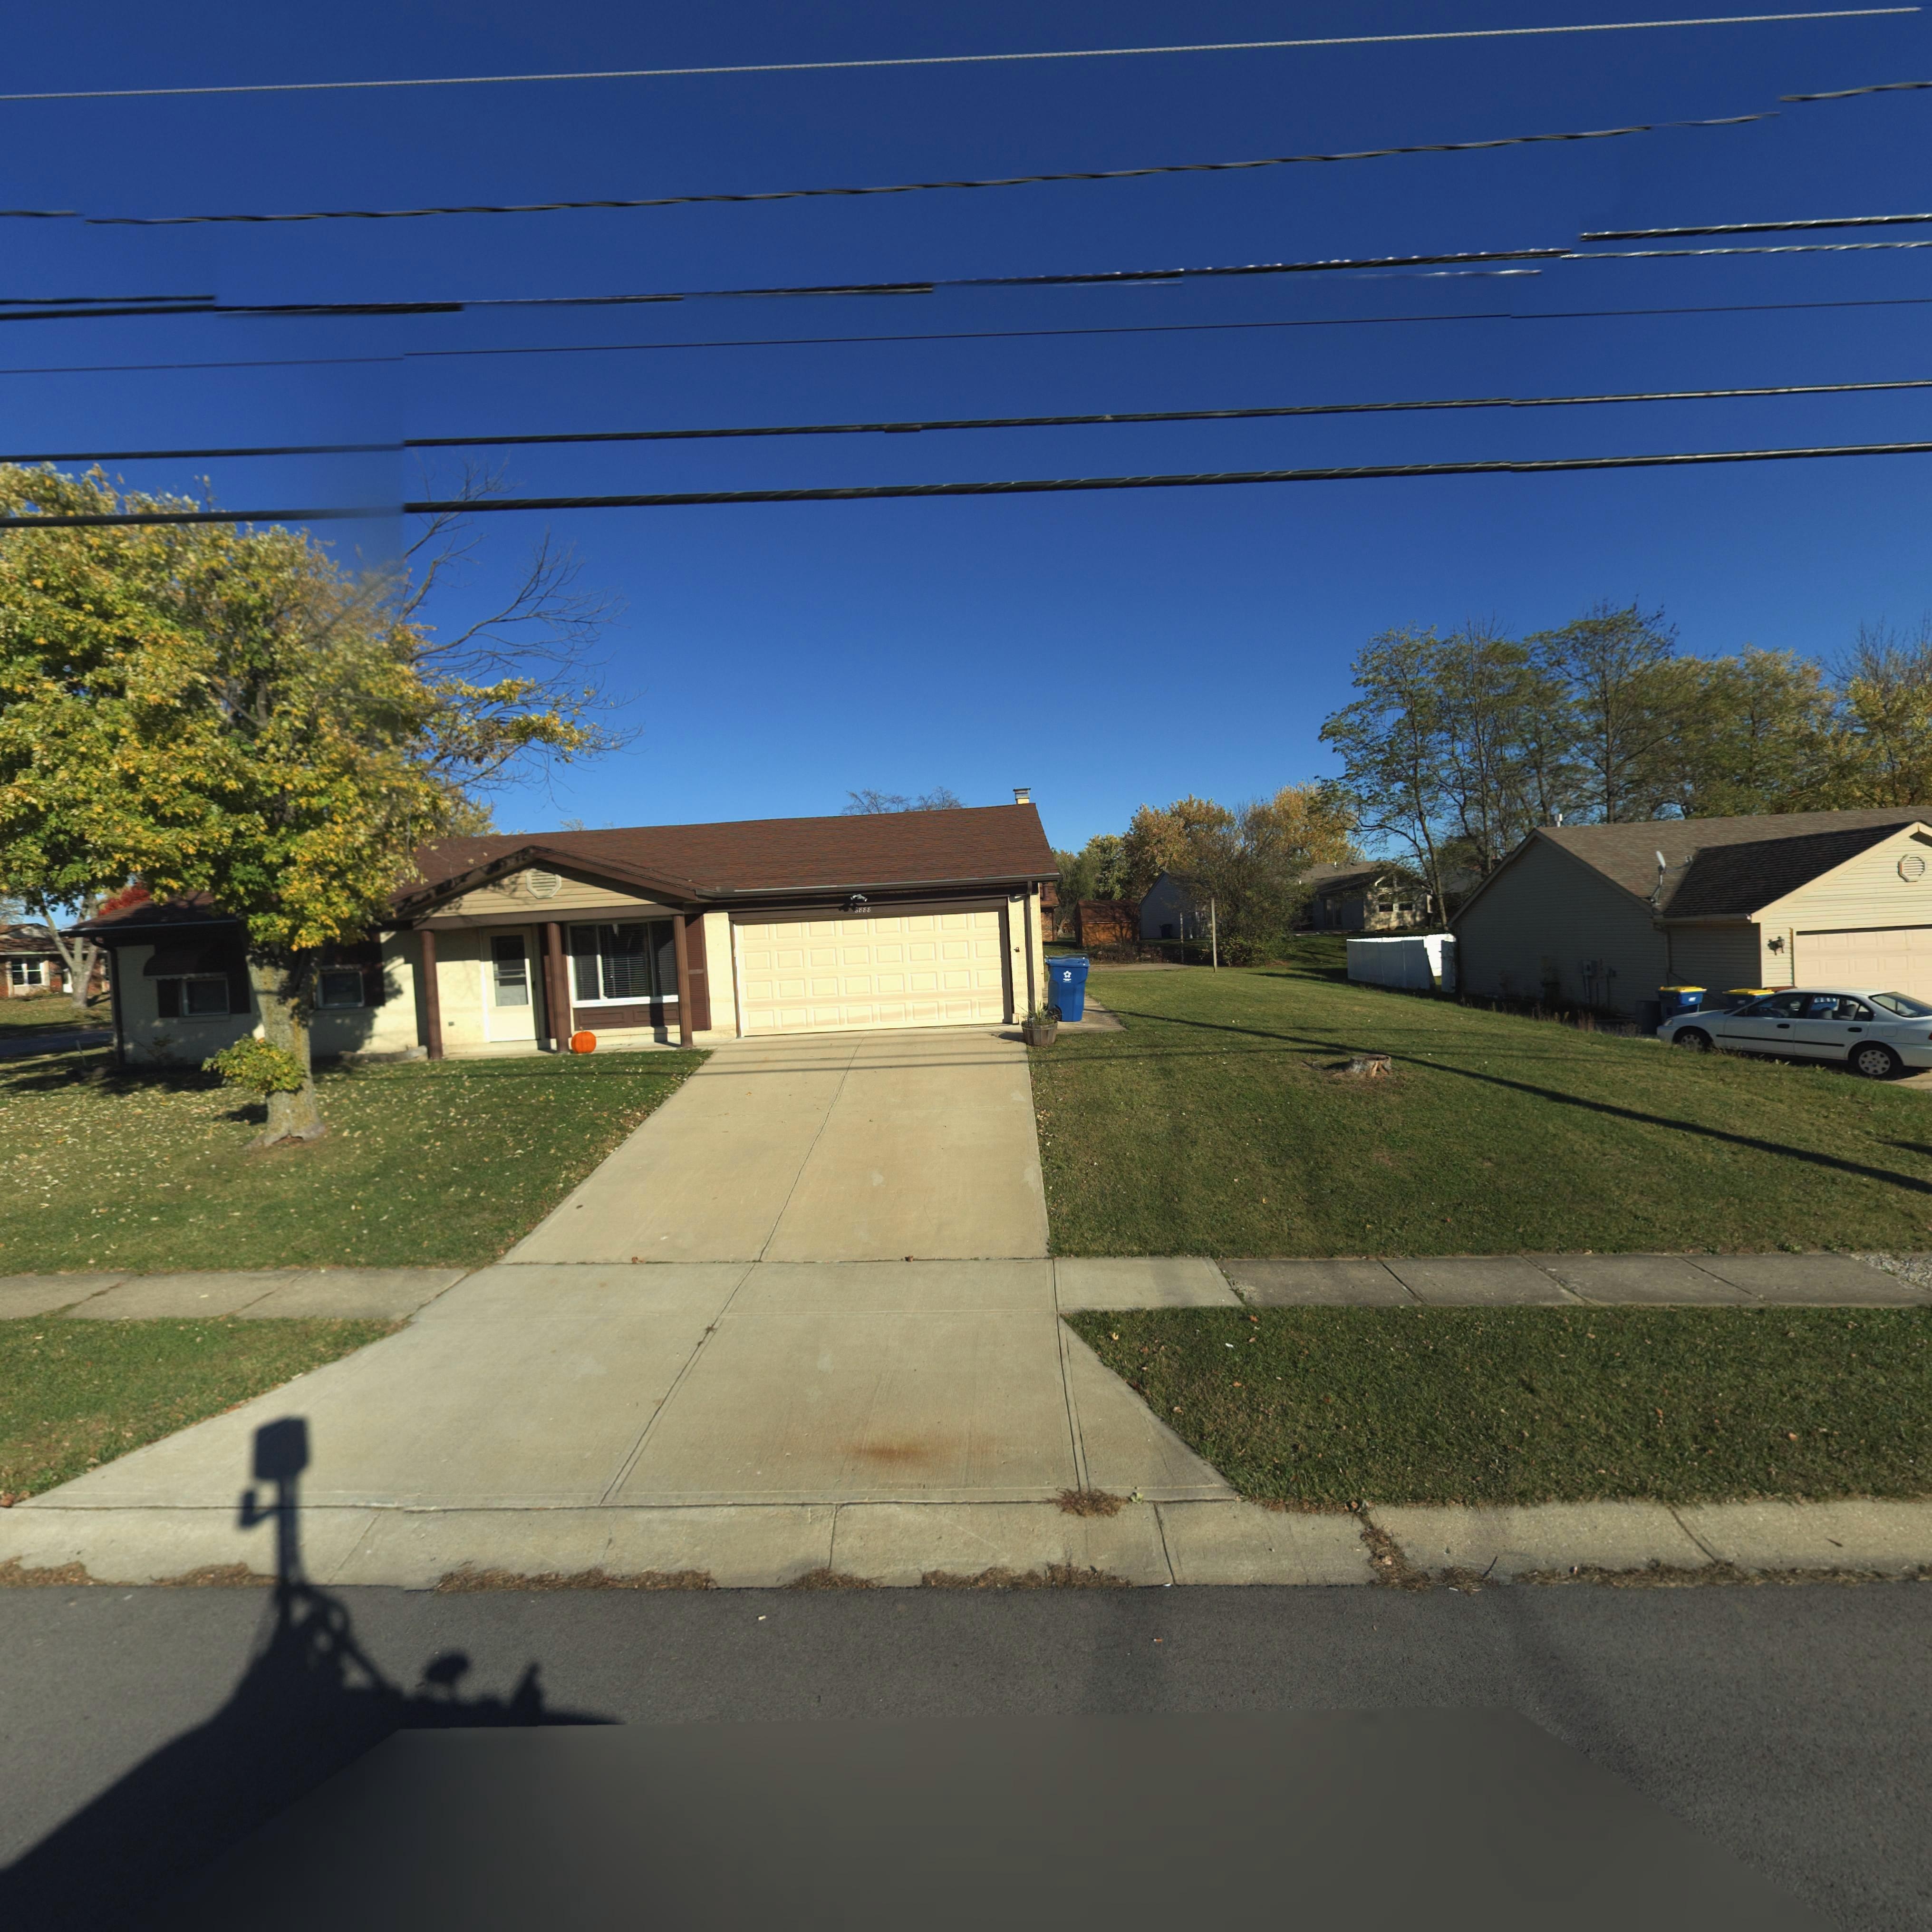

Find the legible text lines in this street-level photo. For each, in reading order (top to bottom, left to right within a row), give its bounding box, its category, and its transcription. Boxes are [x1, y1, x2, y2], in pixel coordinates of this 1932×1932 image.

[853, 906, 872, 914] StreetNumber: *888